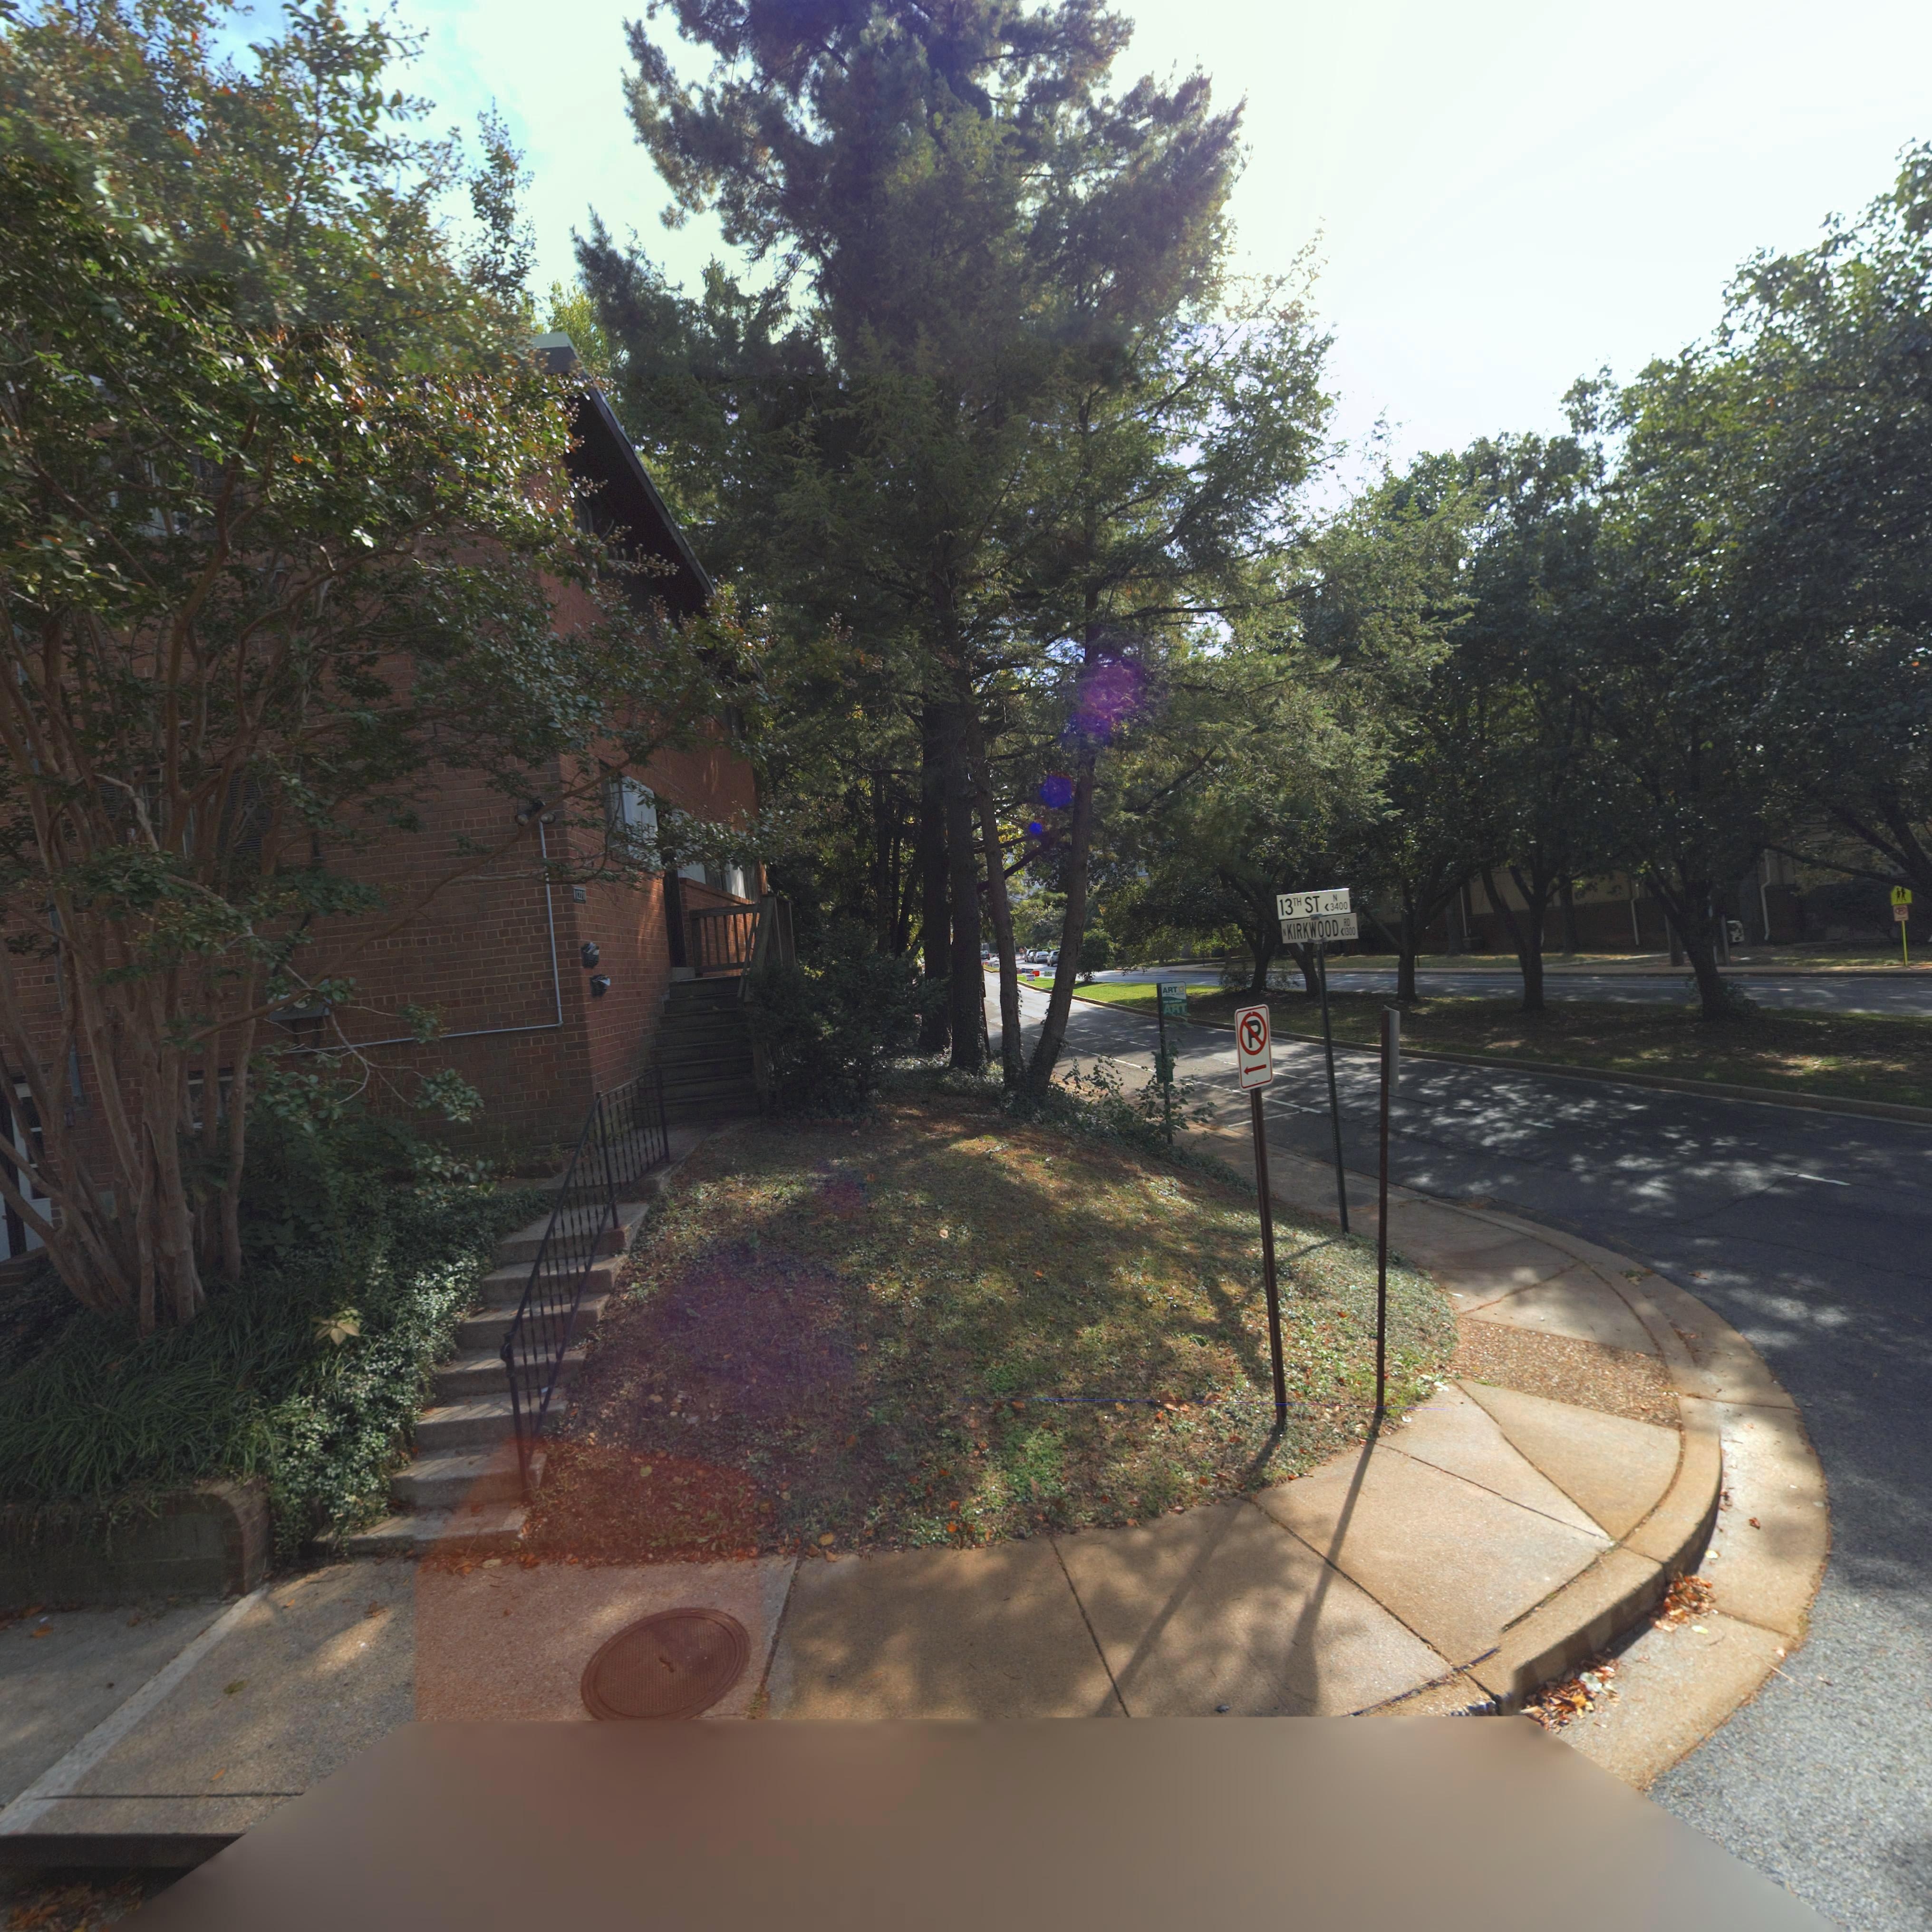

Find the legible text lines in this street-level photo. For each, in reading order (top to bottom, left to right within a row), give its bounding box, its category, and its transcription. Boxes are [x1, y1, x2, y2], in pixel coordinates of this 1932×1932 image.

[575, 889, 585, 901] StreetNumber: 1221
[1278, 892, 1338, 917] StreetName: 13TH ST N
[1329, 900, 1349, 912] StreetNumberRange: 3400
[1281, 916, 1352, 941] StreetName: N KIRKWOOD RD
[1343, 925, 1357, 937] StreetNumberRange: 1300
[1161, 985, 1179, 995] None: ART
[1162, 1001, 1188, 1015] None: ART